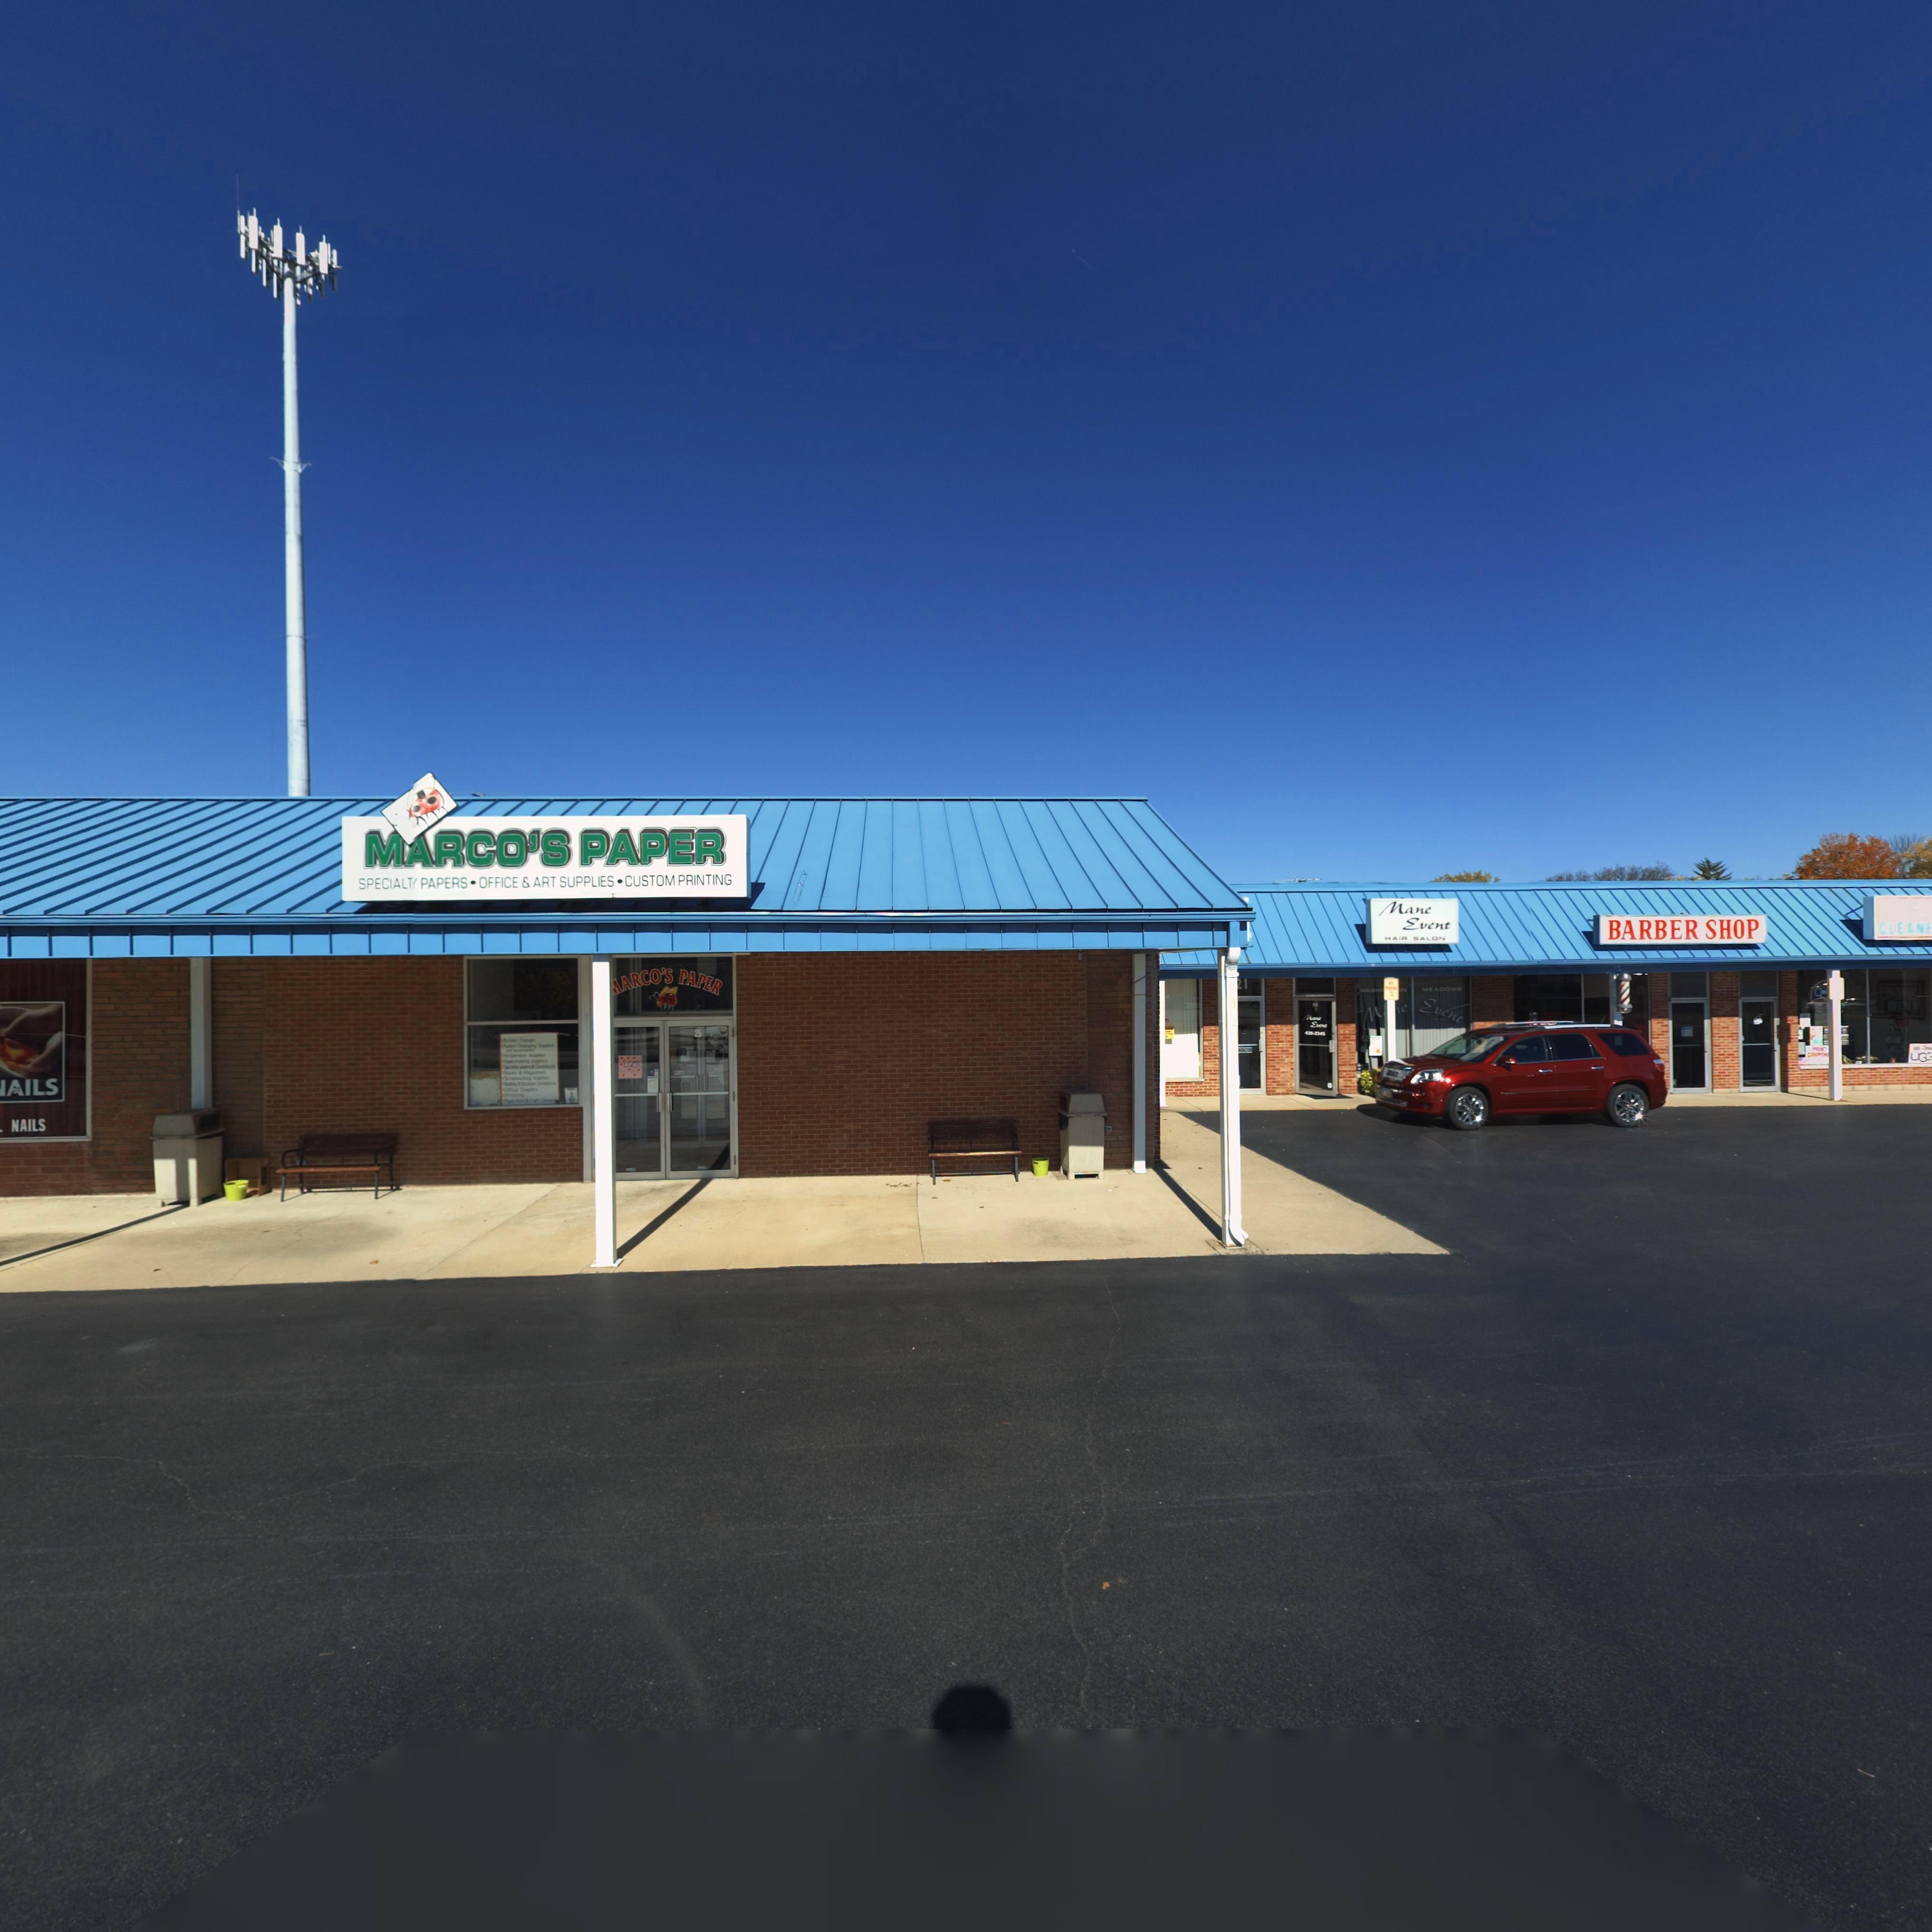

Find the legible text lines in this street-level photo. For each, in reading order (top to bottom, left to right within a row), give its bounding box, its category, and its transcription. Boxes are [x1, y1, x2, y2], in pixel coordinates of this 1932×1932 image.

[361, 826, 728, 871] BusinessName: MARCO'S PAPER
[358, 873, 733, 891] None: SPECIALT* PAPERS * OFFICE & ART SUPPLIES * CUSTOM PRINTING
[1375, 900, 1433, 917] BusinessName: Mane
[1401, 916, 1452, 931] BusinessName: Event
[1606, 918, 1760, 941] BusinessName: BARBER SHOP
[1878, 921, 1925, 935] BusinessName: CLEAN
[1384, 936, 1446, 941] None: HAIR SALON
[618, 966, 725, 996] BusinessName: ARCO'S PAPER
[1243, 977, 1248, 990] StreetNumber: 1
[1359, 988, 1381, 993] None: WASH
[1421, 986, 1463, 992] None: MEADOWS
[1301, 1013, 1313, 1022] BusinessName: M
[1309, 1021, 1318, 1029] BusinessName: E
[1362, 1003, 1410, 1031] BusinessName: M**e
[1418, 997, 1463, 1024] BusinessName: Event
[694, 1028, 703, 1038] StreetNumber: 25
[1910, 1052, 1932, 1063] None: UGG
[4, 1077, 59, 1098] None: AILS
[10, 1118, 47, 1133] None: NAILS